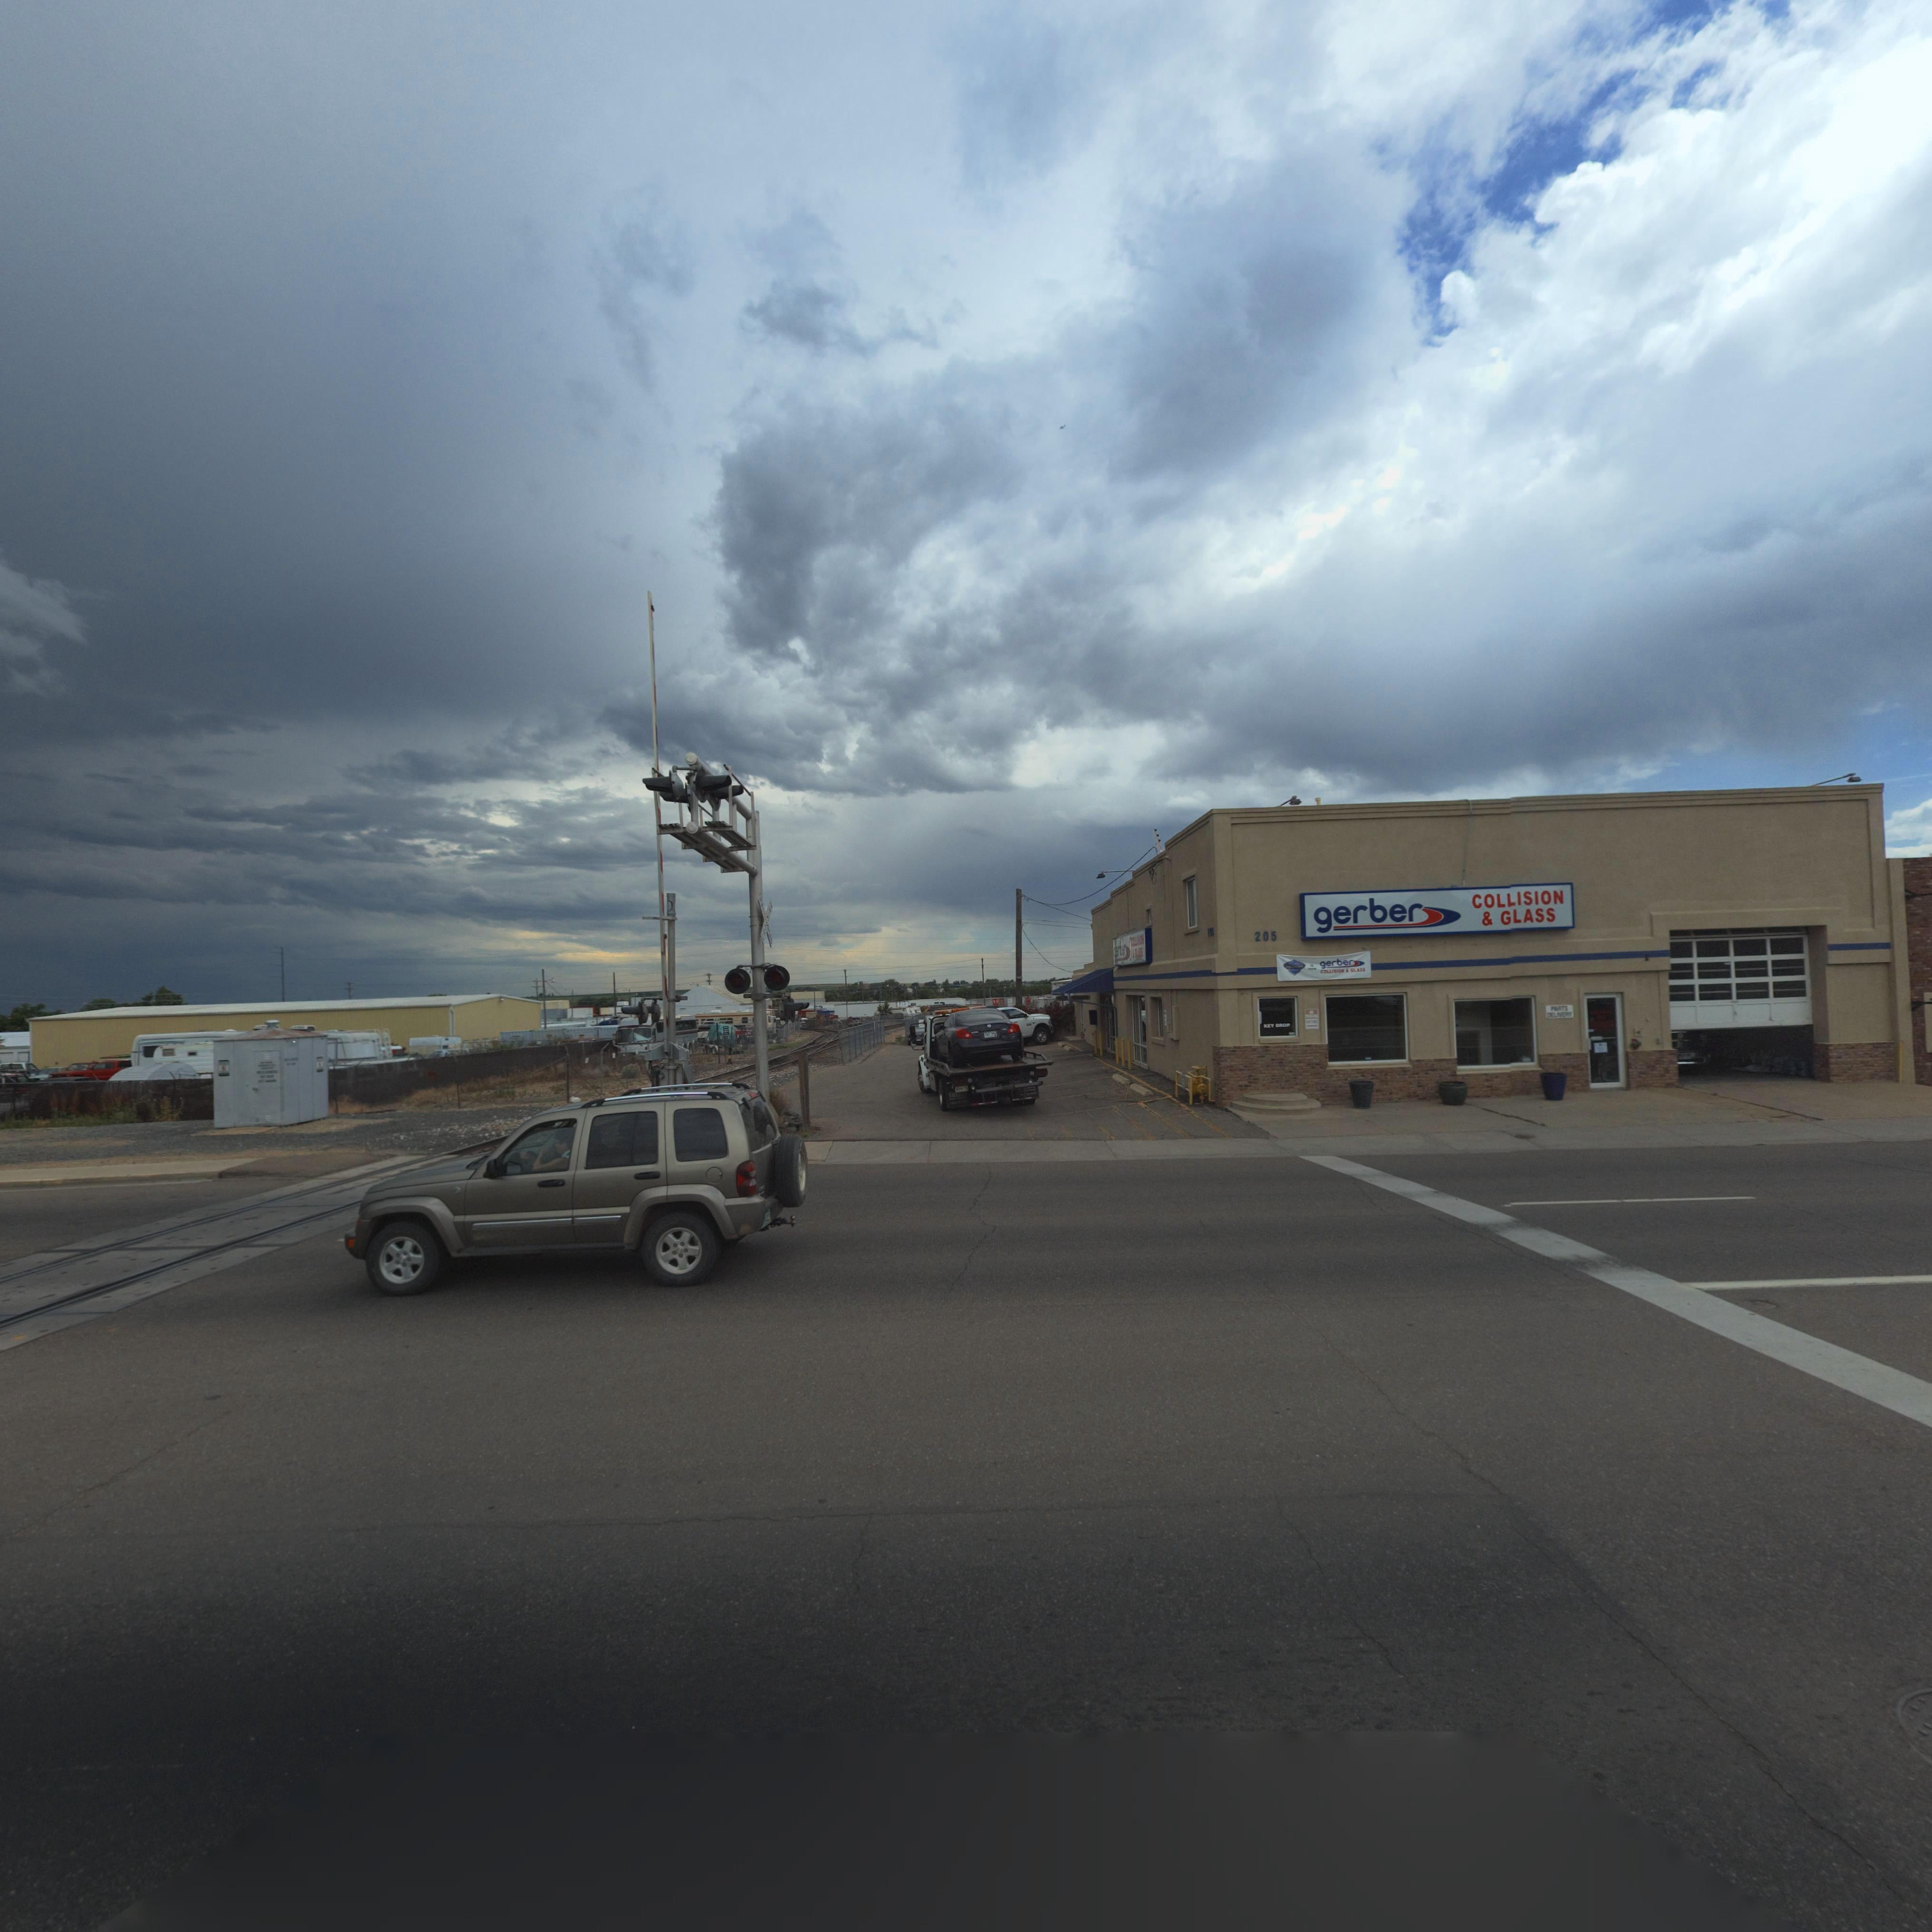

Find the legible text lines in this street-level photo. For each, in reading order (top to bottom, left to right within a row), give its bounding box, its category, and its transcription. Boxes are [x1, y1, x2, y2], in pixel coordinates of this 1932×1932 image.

[1471, 889, 1564, 909] BusinessName: COLLISION
[1313, 897, 1423, 933] BusinessName: gerber
[1481, 907, 1556, 926] BusinessName: * GLASS
[1130, 933, 1144, 947] BusinessName: COLLISION
[1207, 926, 1214, 938] StreetNumber: 205
[1255, 930, 1277, 941] StreetNumber: 205
[1113, 939, 1126, 962] BusinessName: gerger
[1131, 946, 1143, 959] BusinessName: * GLASS
[1319, 957, 1353, 969] BusinessName: gerber
[1319, 967, 1366, 974] BusinessName: COLLISION * GLASS